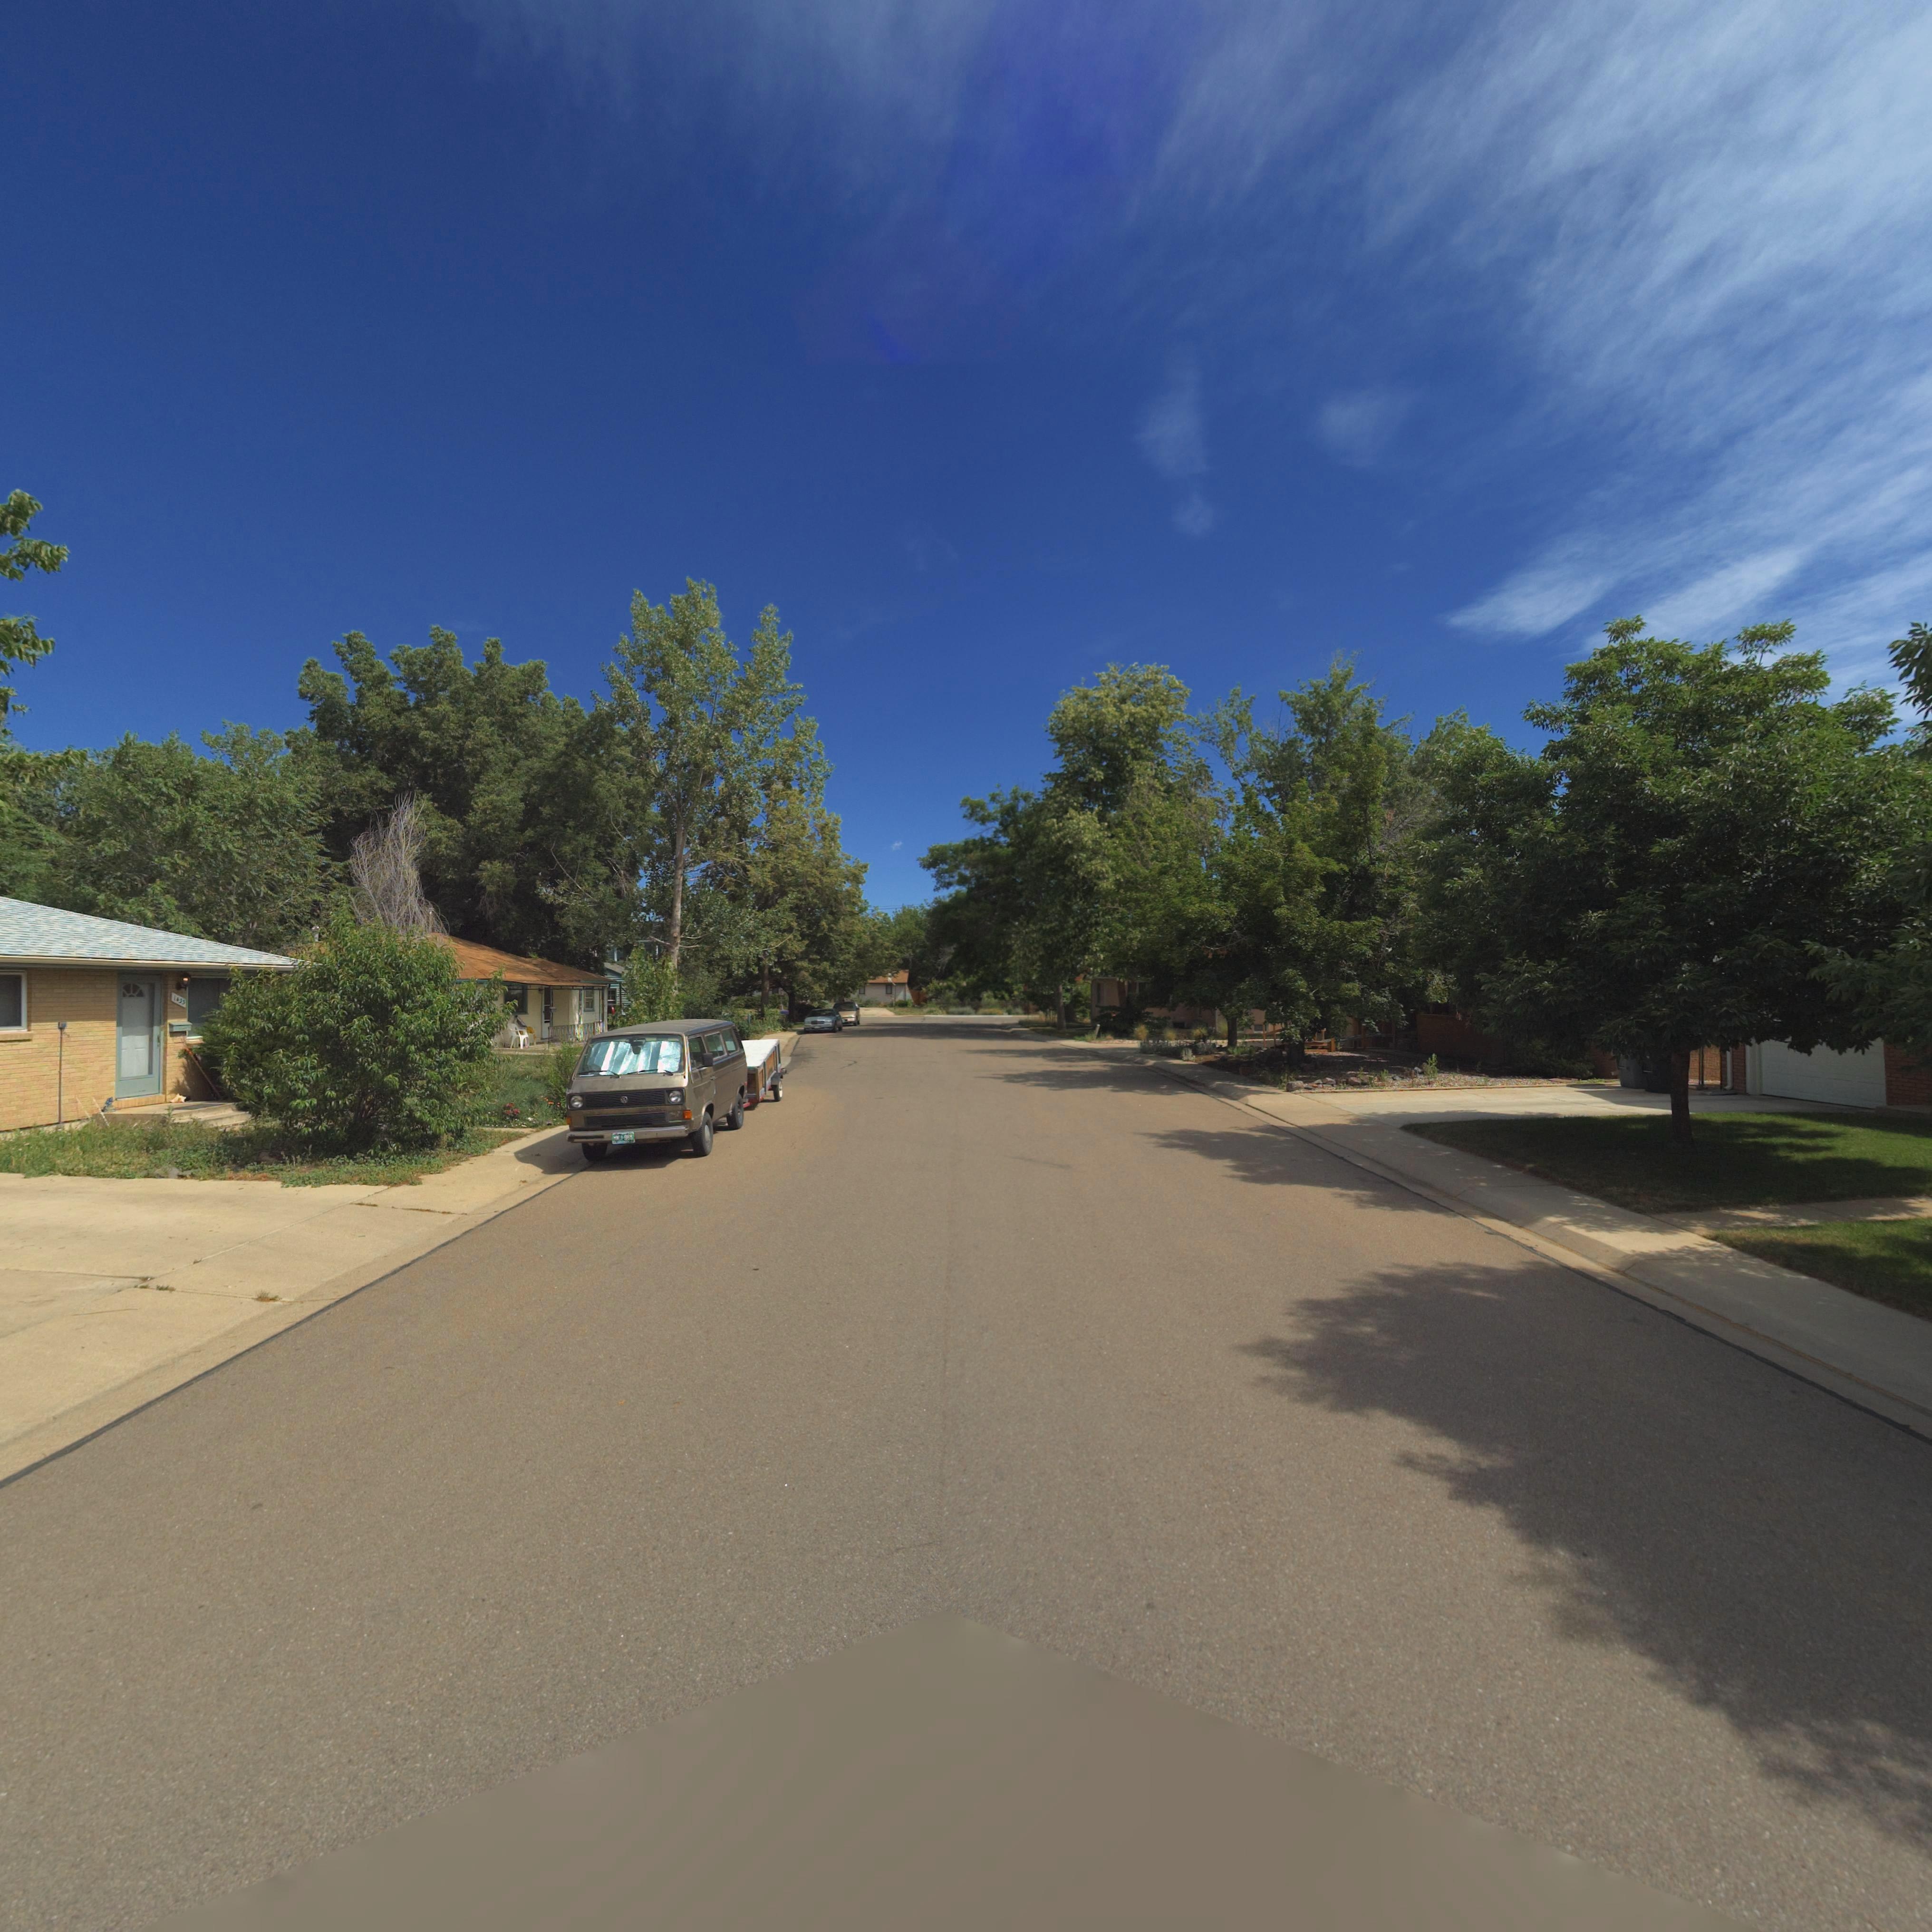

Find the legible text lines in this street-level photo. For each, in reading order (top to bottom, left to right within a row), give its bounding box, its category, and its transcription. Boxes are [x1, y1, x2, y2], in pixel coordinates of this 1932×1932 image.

[172, 994, 185, 1005] StreetNumber: 1435